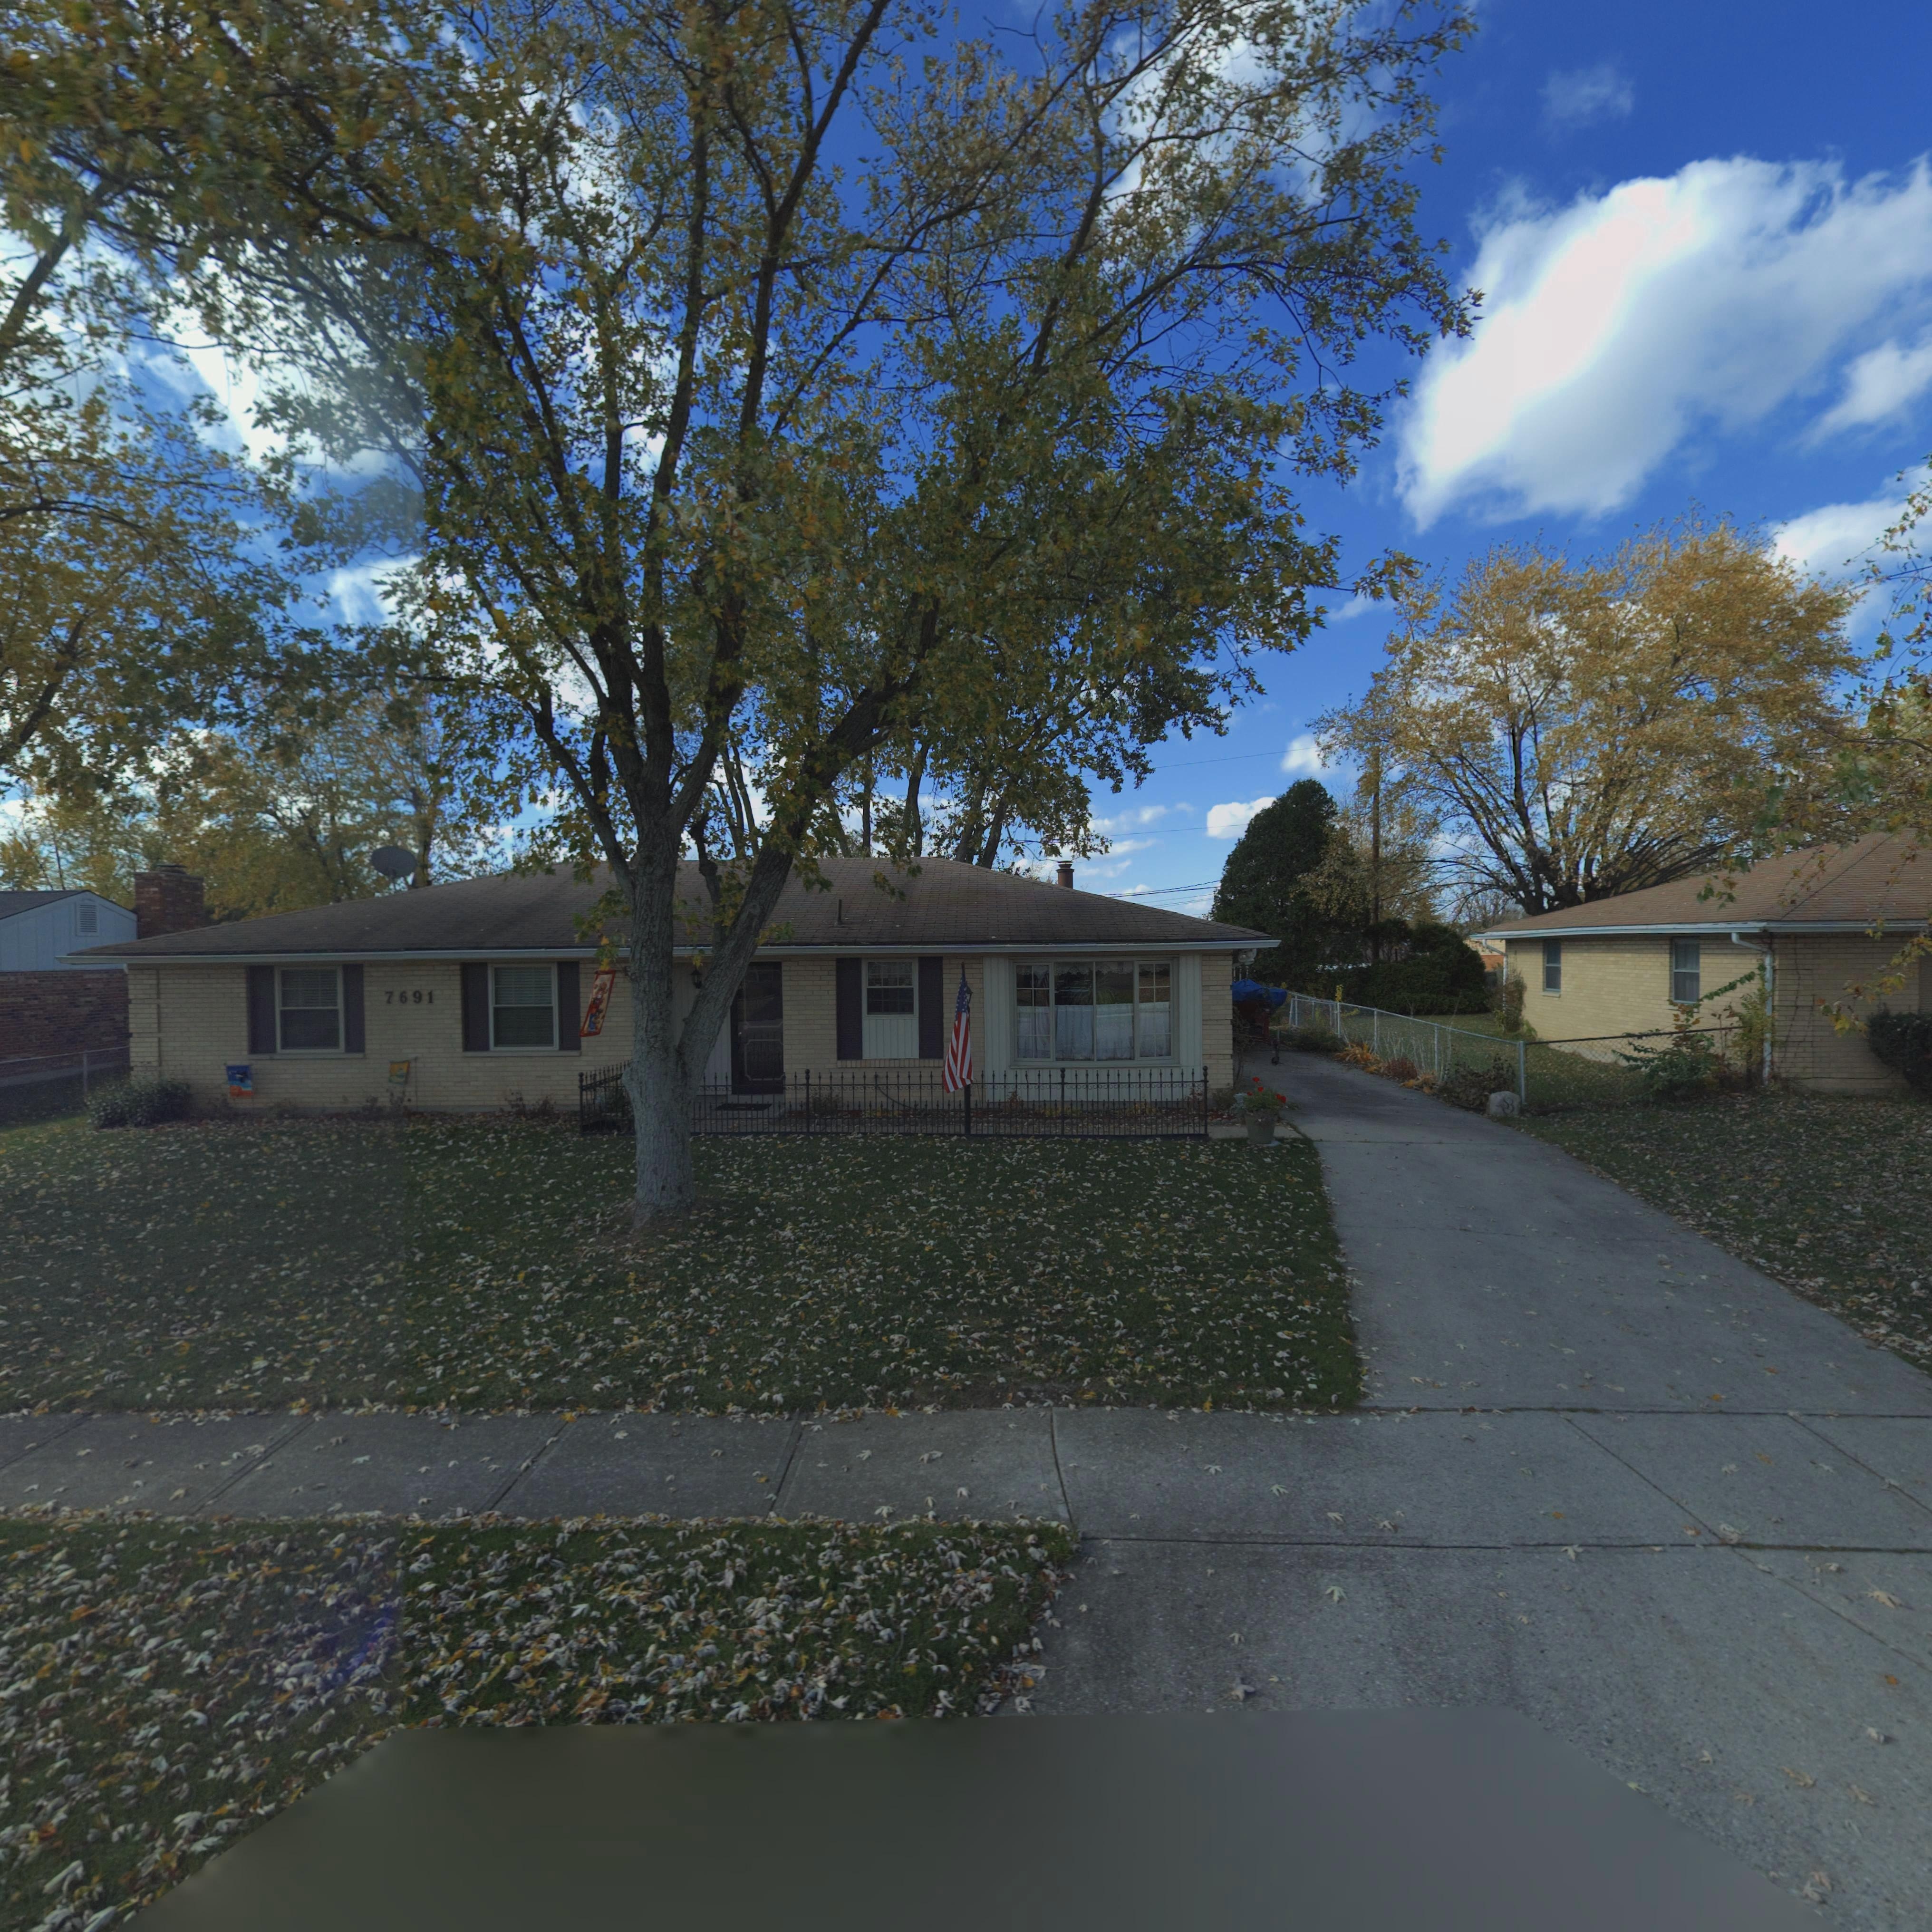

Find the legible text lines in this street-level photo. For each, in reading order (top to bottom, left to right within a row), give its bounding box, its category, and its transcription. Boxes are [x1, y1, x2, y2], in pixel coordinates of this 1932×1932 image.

[384, 989, 435, 1005] StreetNumber: 7691